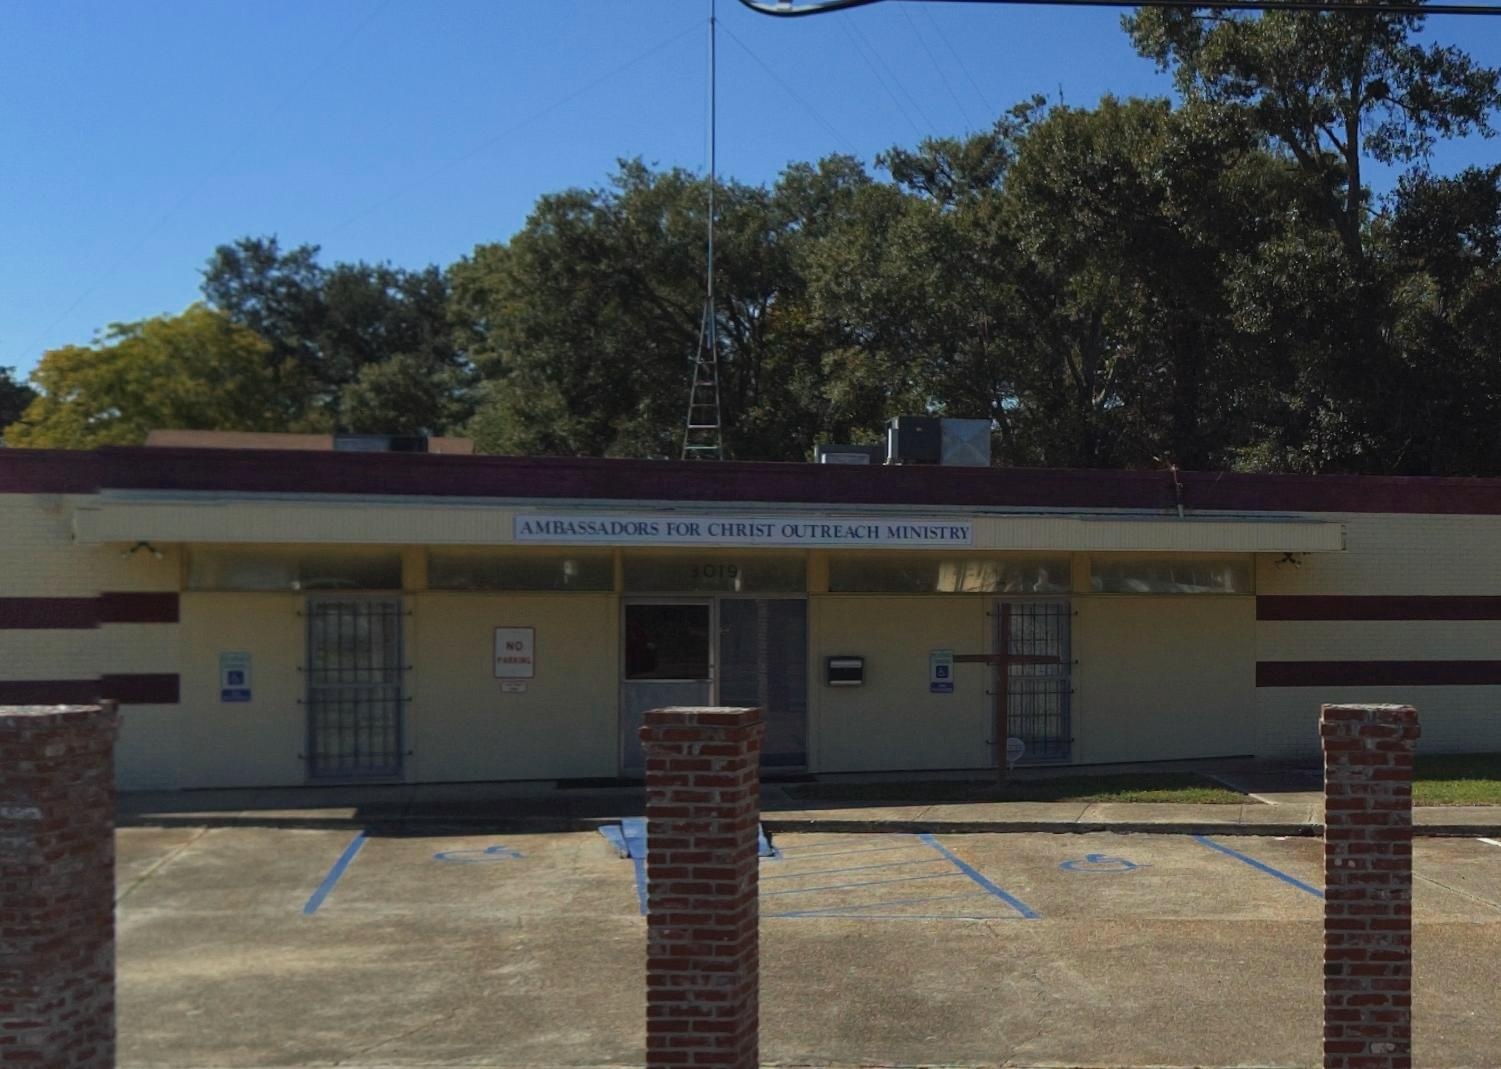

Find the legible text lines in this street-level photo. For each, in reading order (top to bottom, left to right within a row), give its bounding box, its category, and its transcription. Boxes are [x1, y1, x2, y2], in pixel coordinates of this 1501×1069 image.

[516, 517, 972, 542] BusinessName: AMBASSADORS FOR CHRIST OUTREACH MINISTRY
[686, 561, 740, 580] StreetNumber: *019
[504, 639, 525, 653] None: NO
[495, 654, 533, 665] None: PARKING